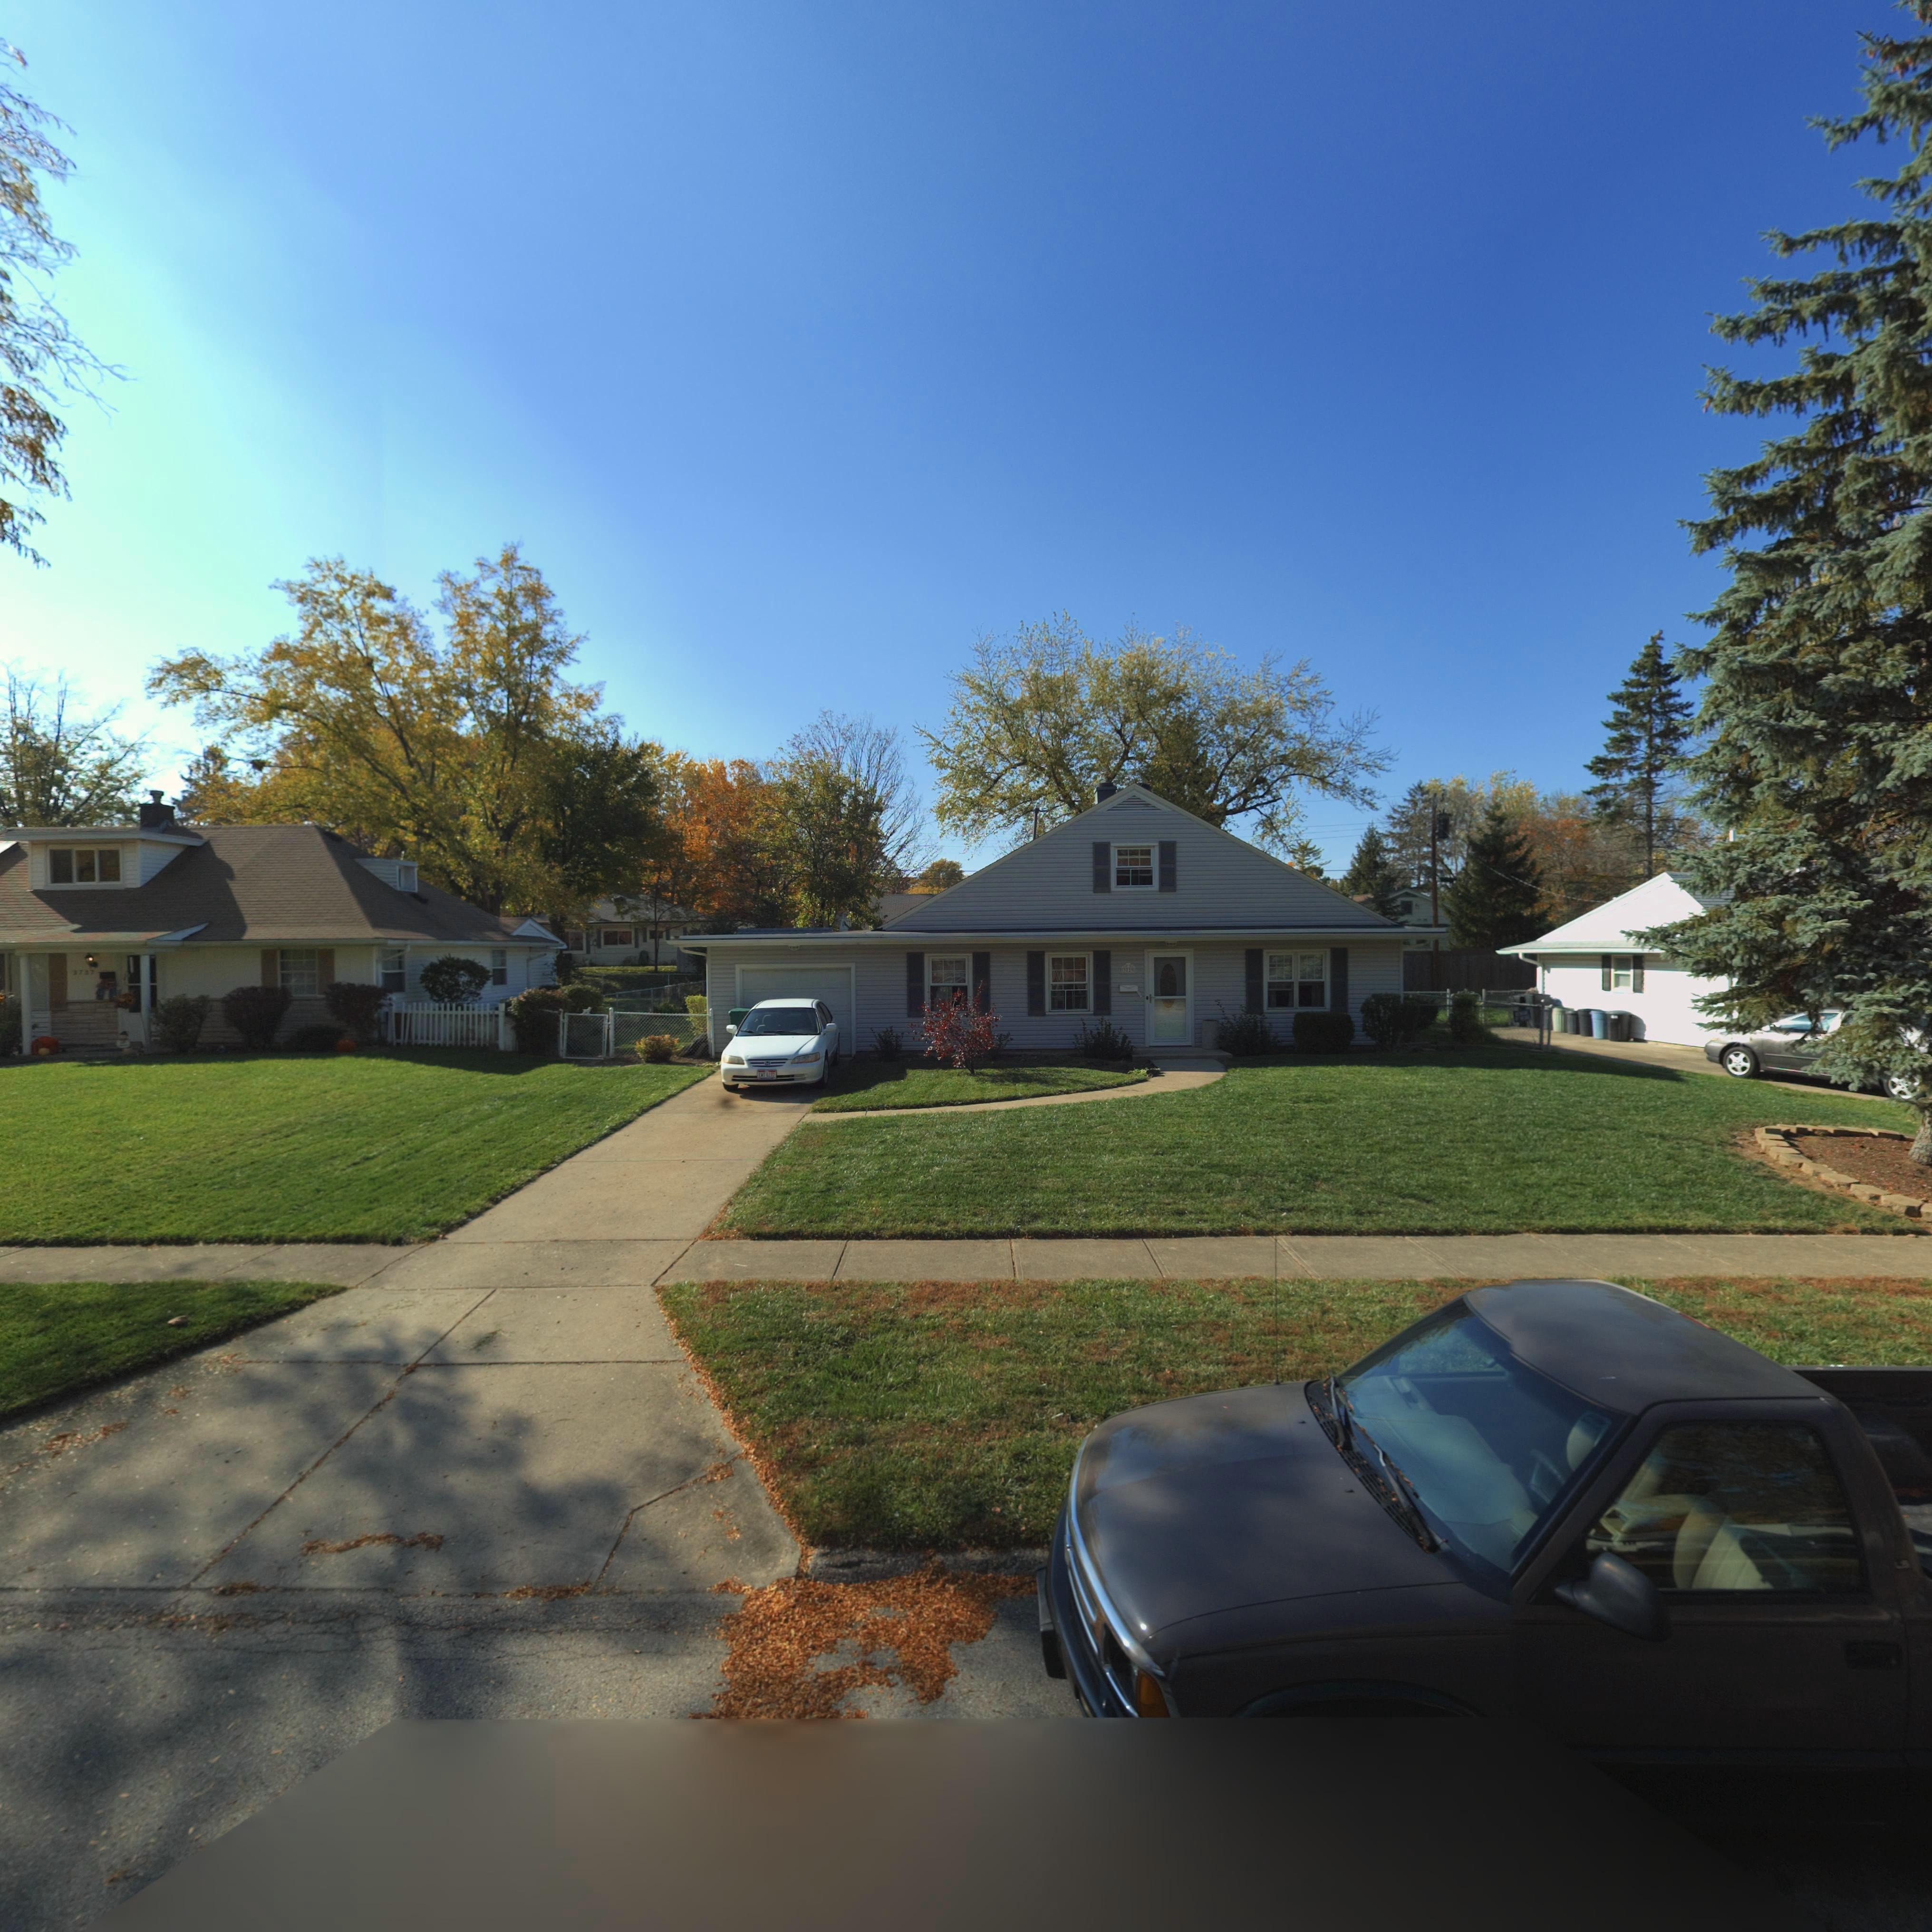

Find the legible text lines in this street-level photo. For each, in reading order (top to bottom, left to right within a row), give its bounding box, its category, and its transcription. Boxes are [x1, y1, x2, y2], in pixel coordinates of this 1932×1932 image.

[71, 969, 95, 976] StreetNumber: 3737
[1122, 967, 1134, 972] StreetNumber: **29
[758, 1072, 775, 1078] None: EWT*6*7*
[1893, 1559, 1912, 1570] None: LS